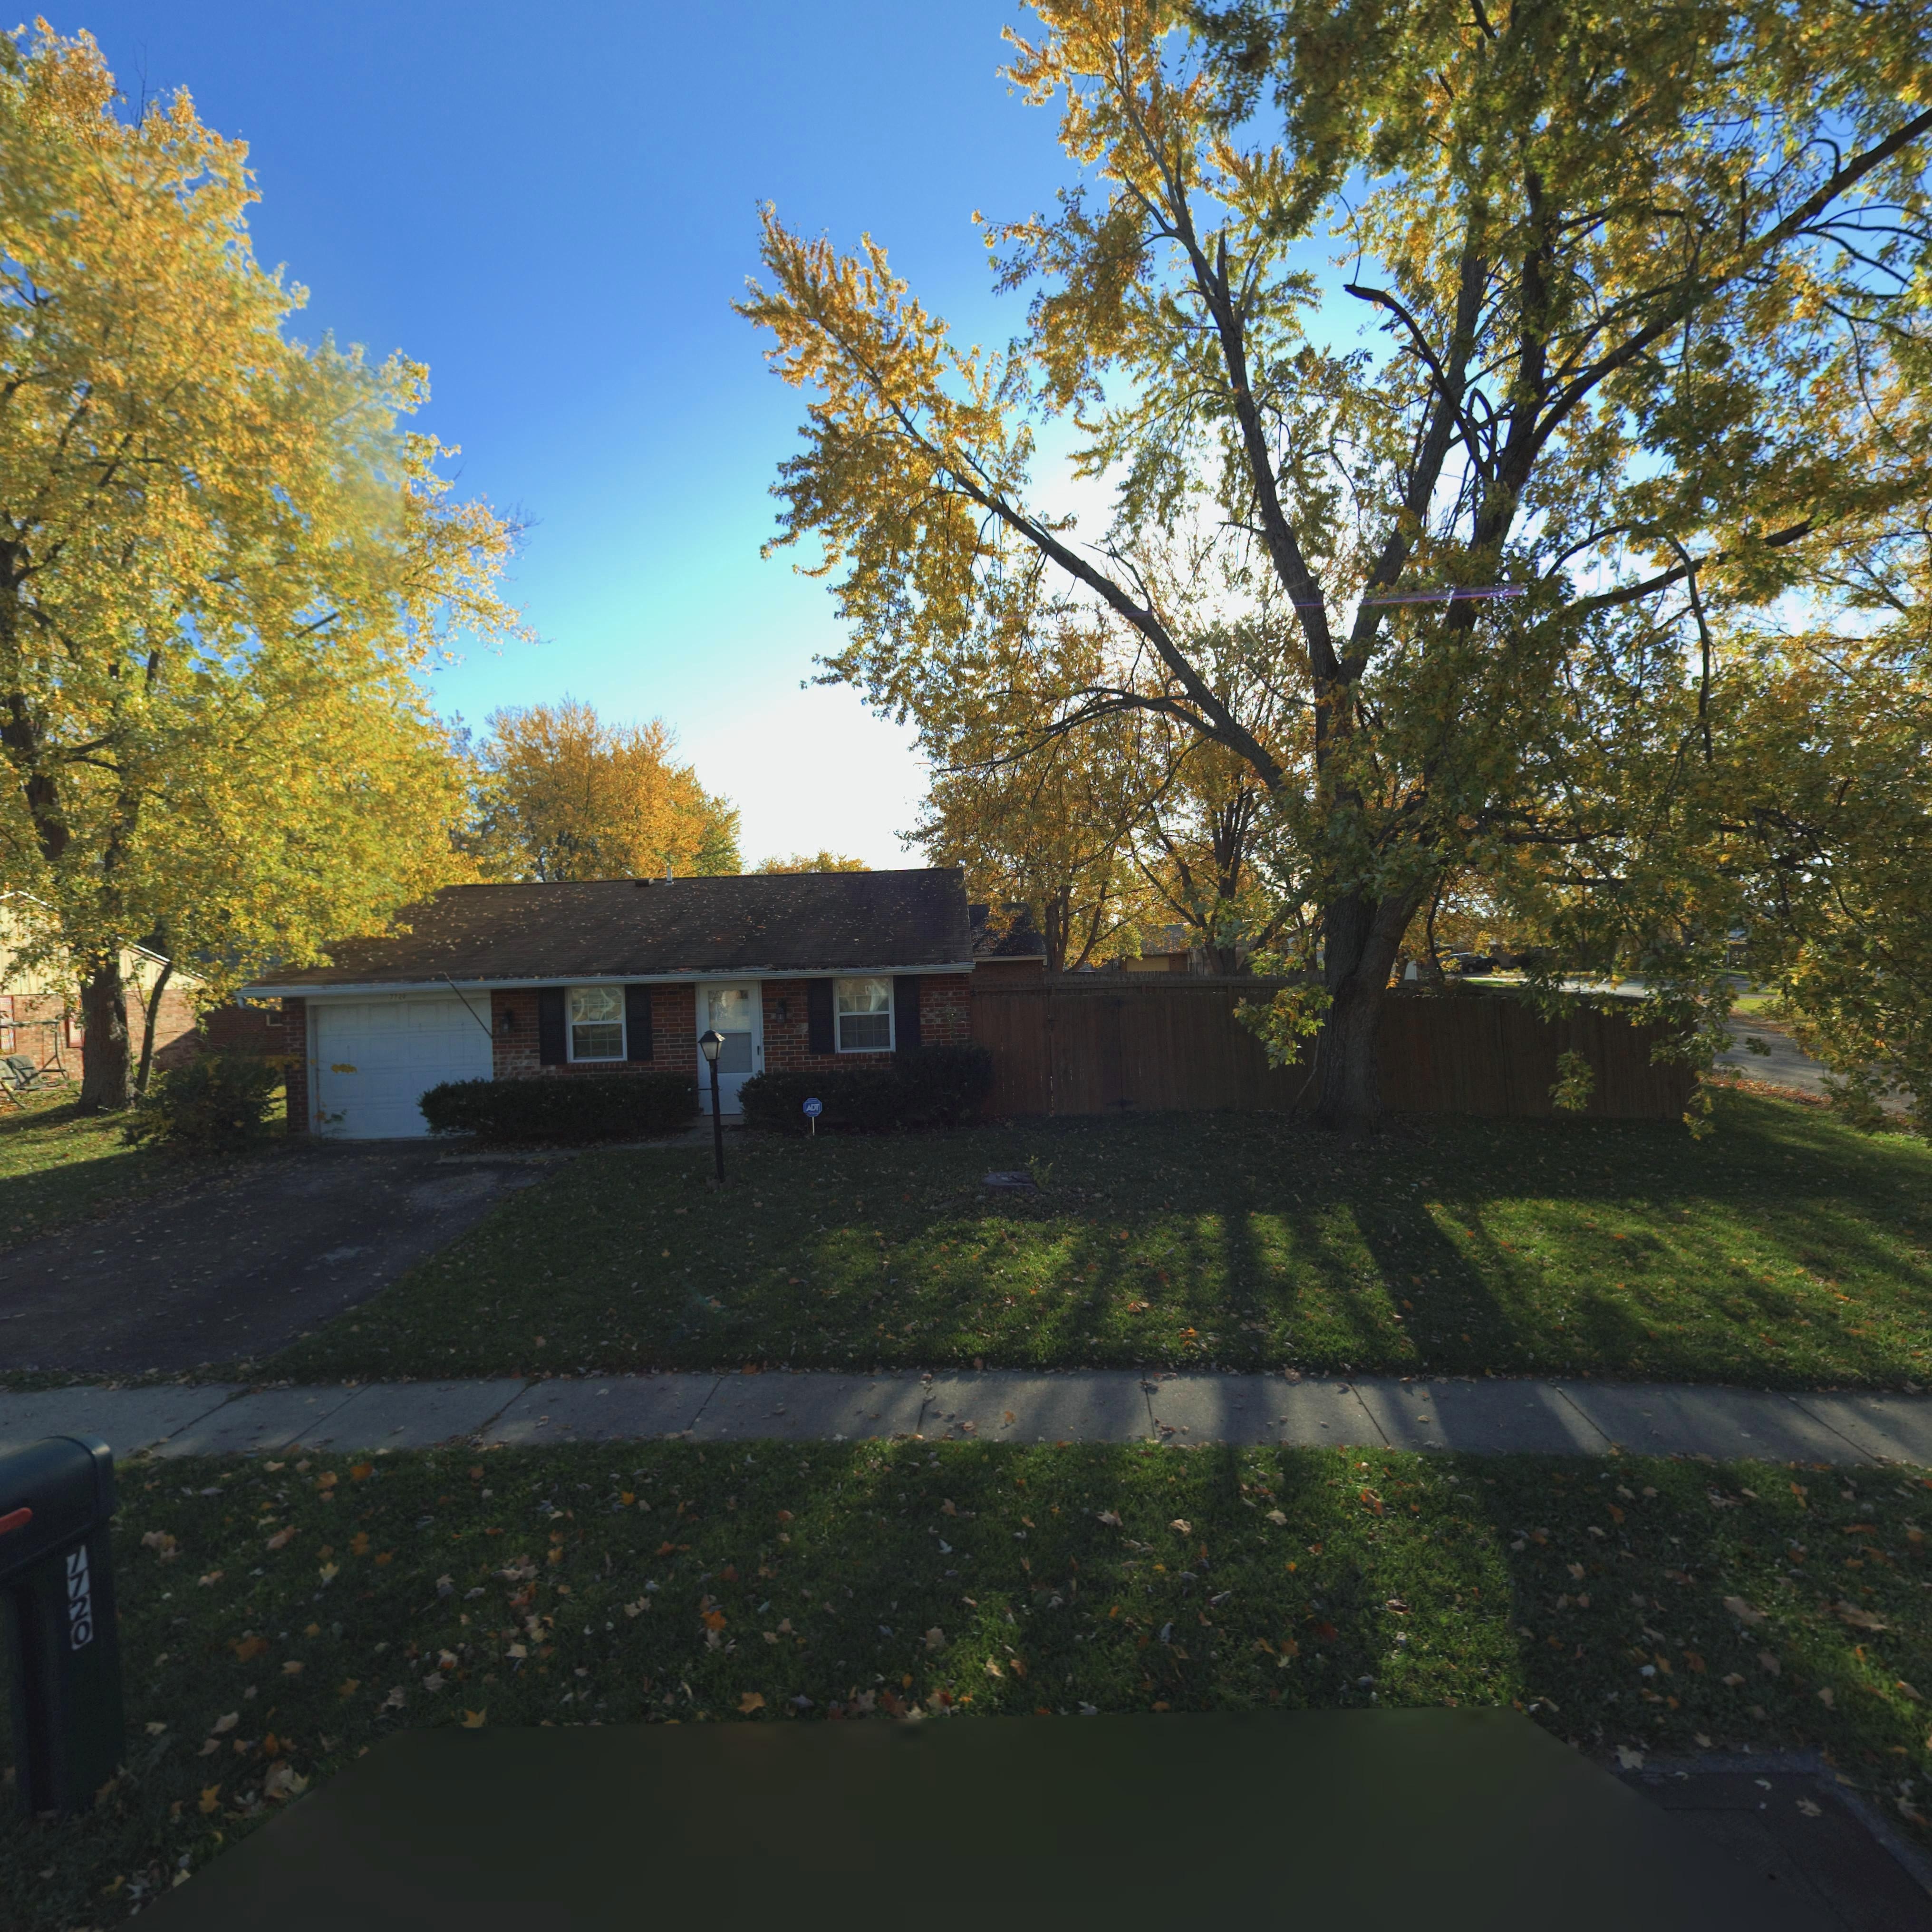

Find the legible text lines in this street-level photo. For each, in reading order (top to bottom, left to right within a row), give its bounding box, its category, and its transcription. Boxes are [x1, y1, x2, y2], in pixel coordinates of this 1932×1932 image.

[388, 992, 407, 1002] StreetNumber: 77*0
[803, 1102, 819, 1112] None: ADT
[64, 1544, 93, 1650] StreetNumber: 7720